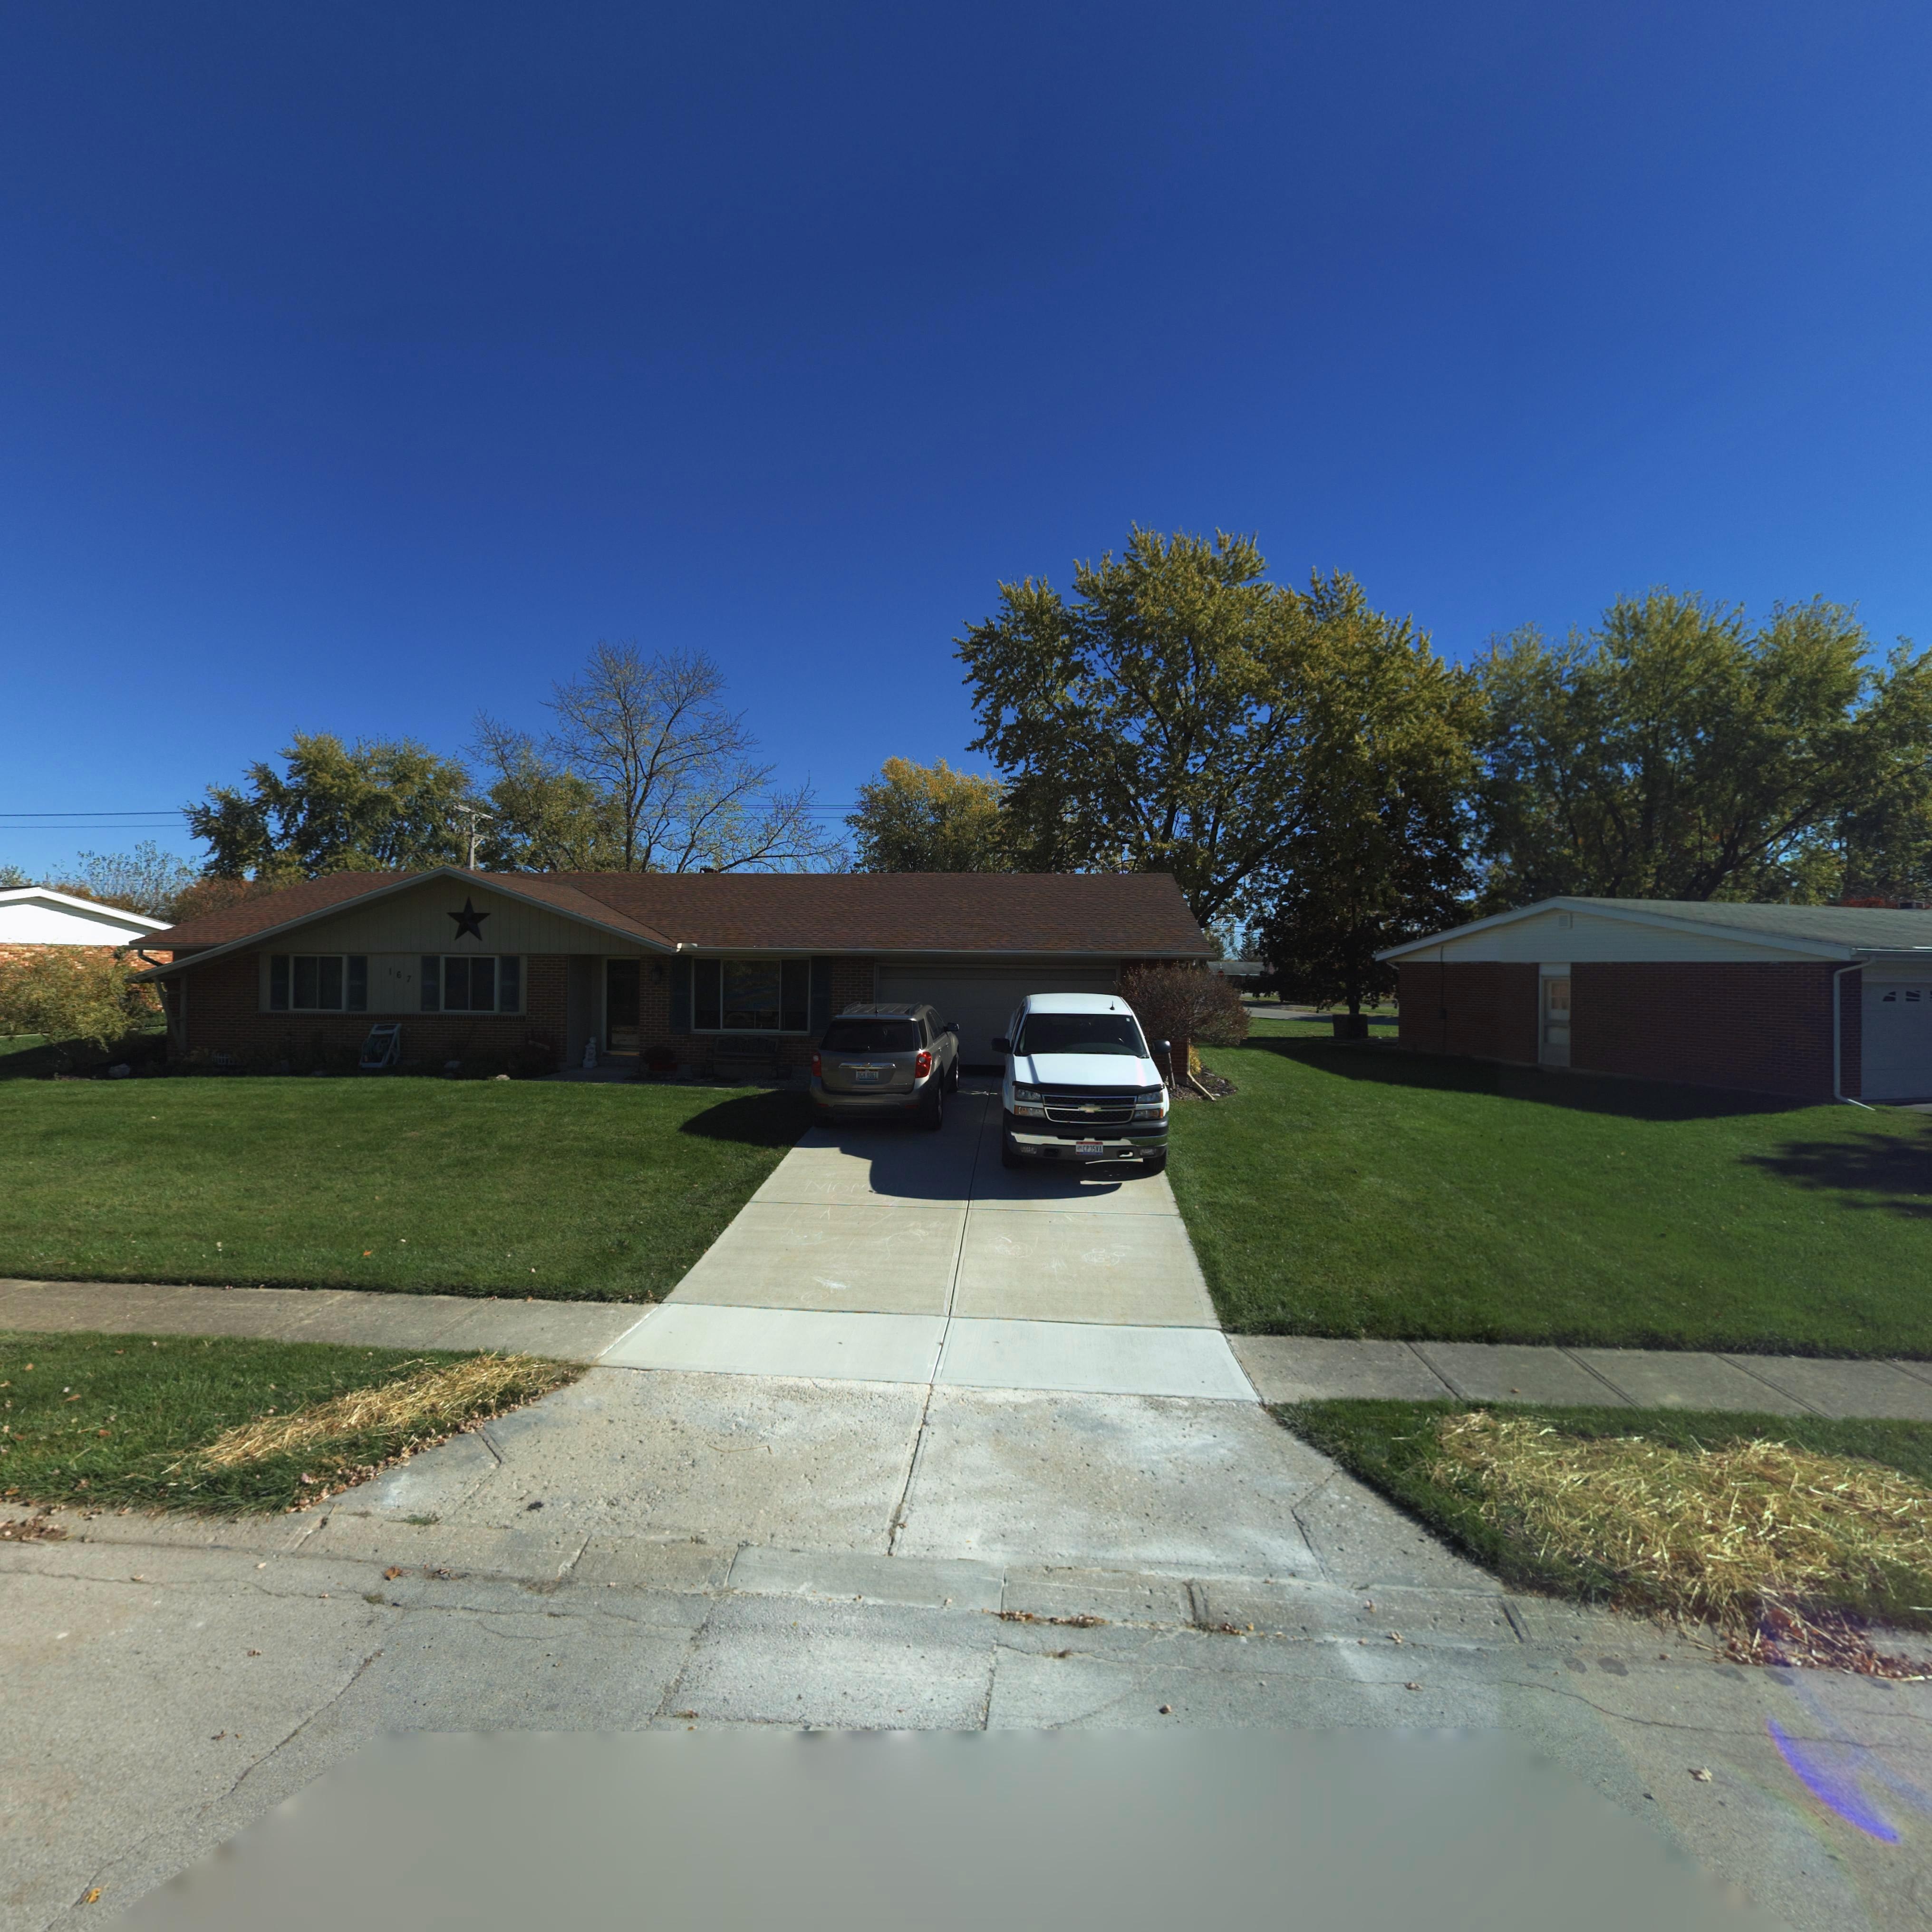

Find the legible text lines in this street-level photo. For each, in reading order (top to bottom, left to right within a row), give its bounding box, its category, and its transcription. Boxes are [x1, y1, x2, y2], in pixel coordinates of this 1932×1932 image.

[388, 966, 412, 984] StreetNumber: 167